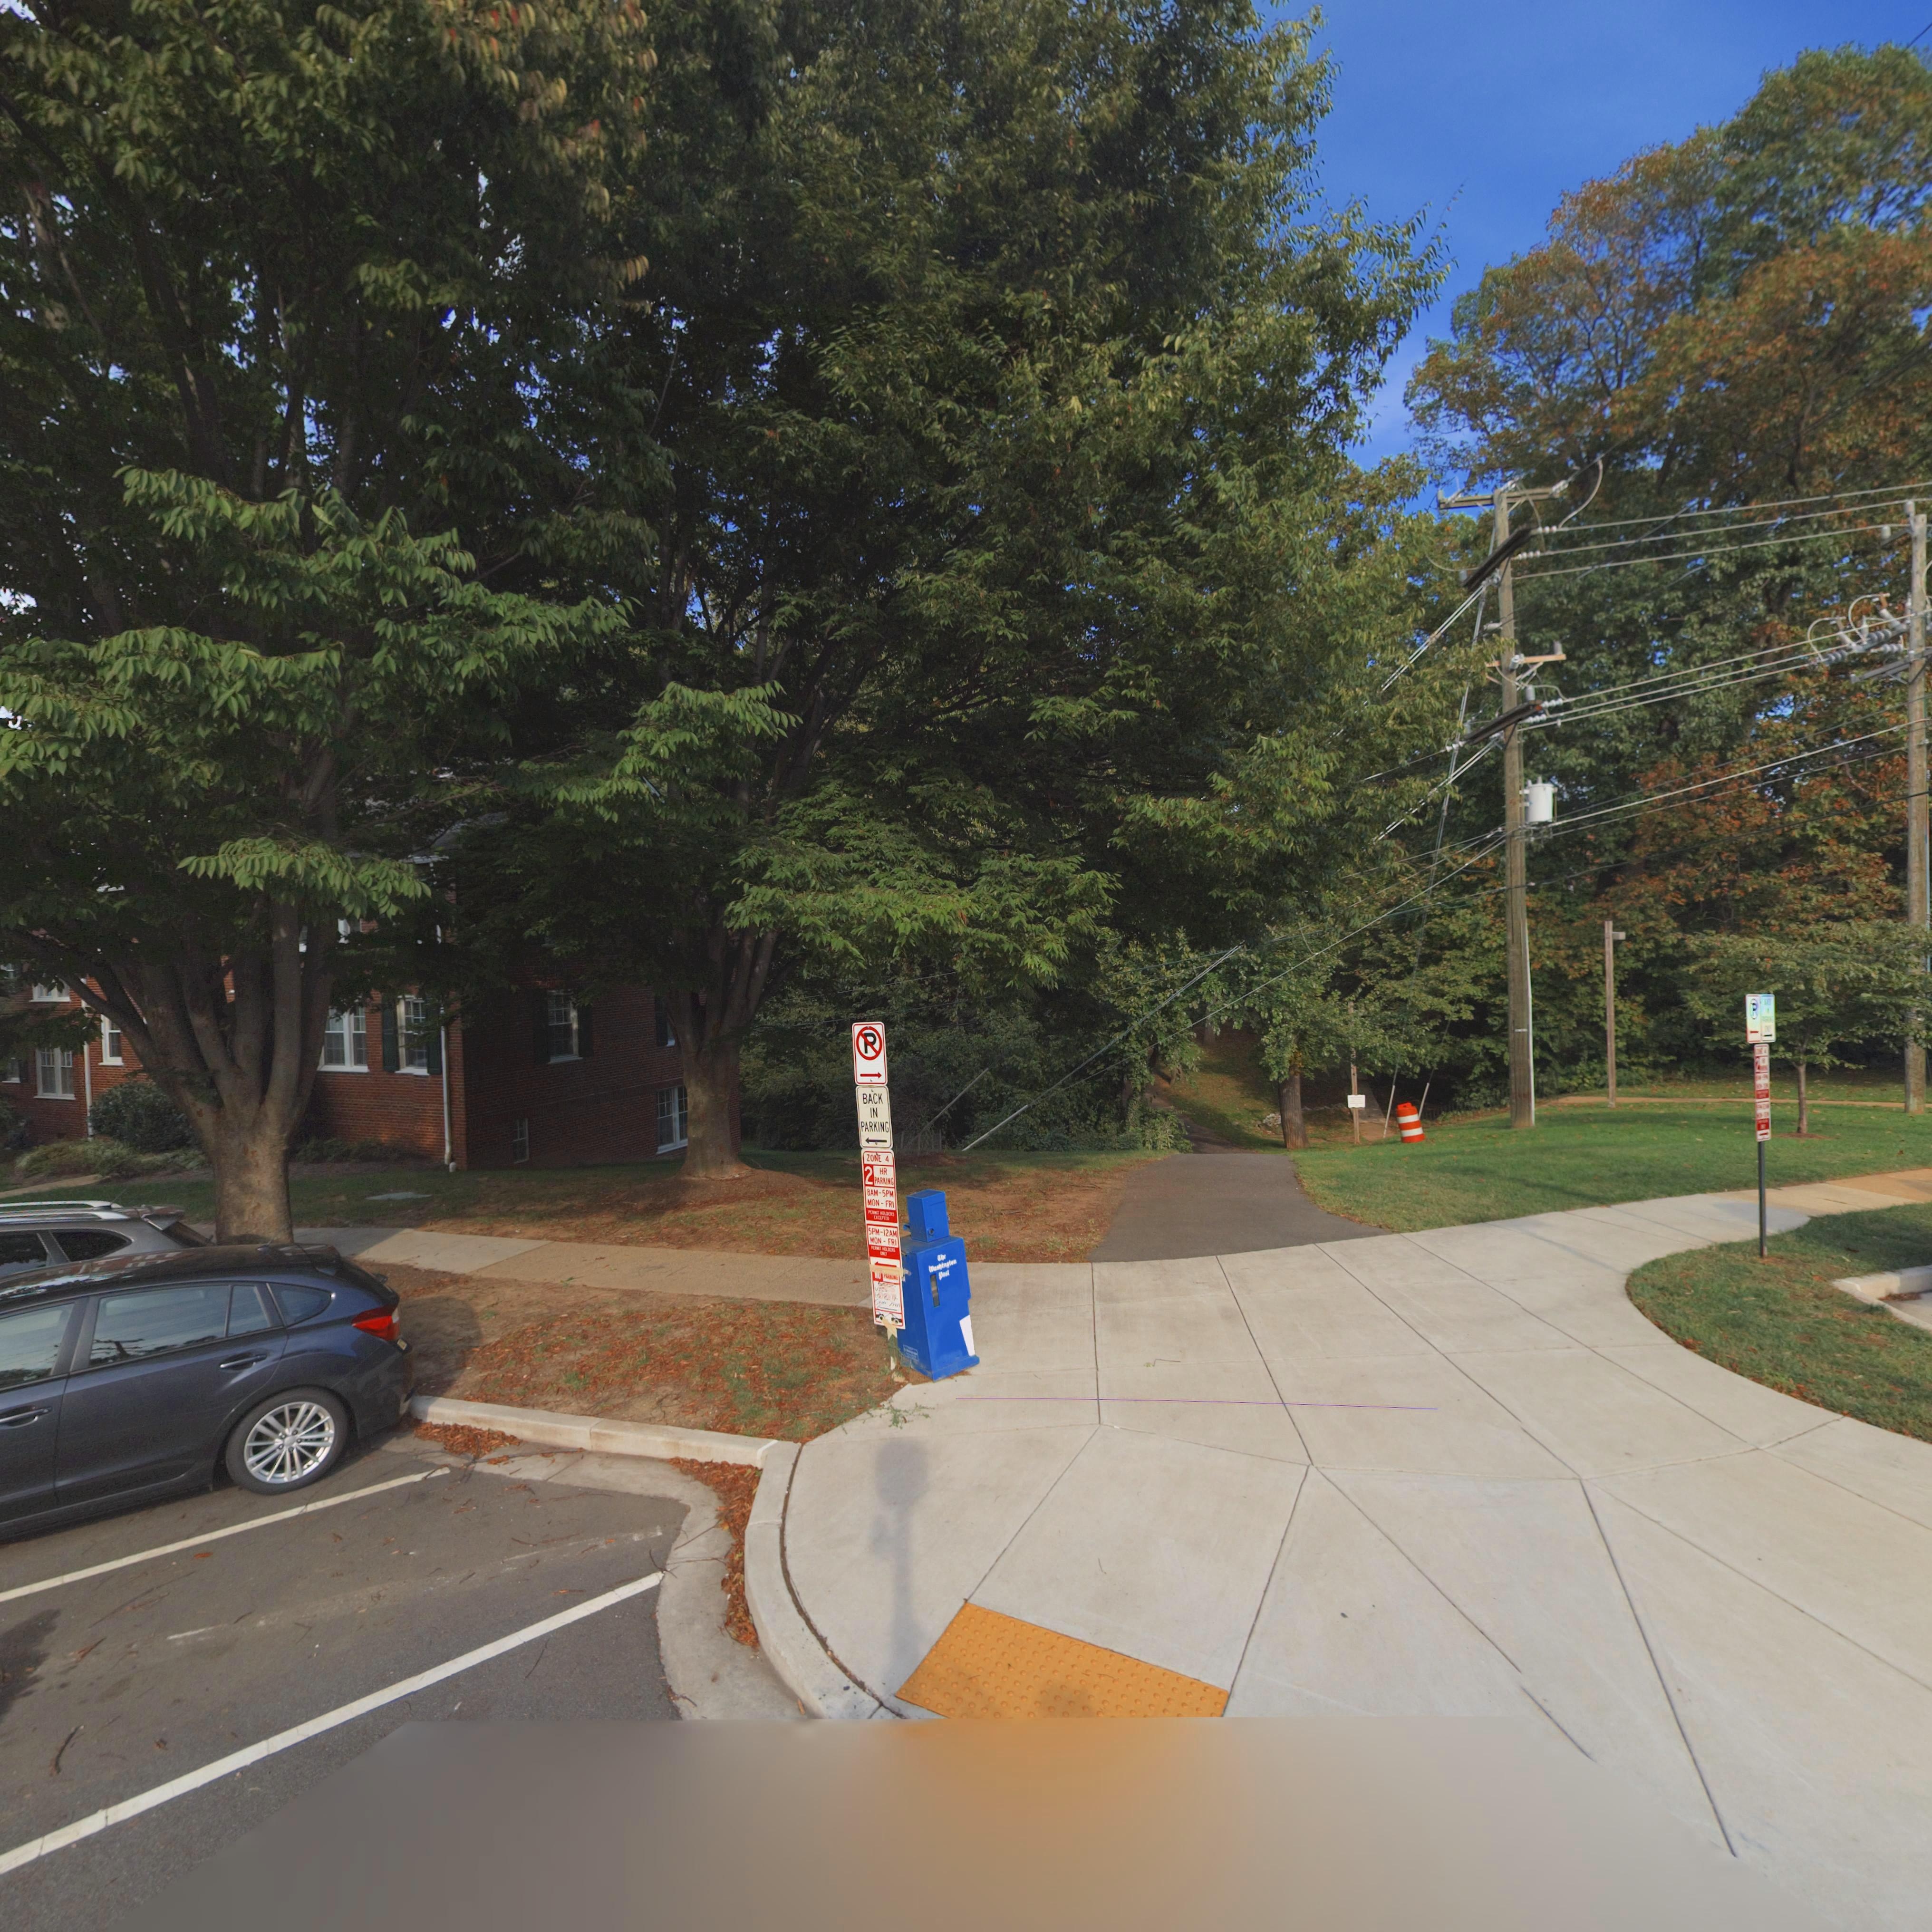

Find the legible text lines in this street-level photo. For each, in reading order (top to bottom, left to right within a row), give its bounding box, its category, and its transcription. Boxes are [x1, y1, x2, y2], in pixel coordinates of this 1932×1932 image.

[1754, 1057, 1761, 1073] None: 2
[861, 1092, 885, 1106] None: BACK
[869, 1106, 879, 1120] None: IN
[860, 1119, 891, 1134] None: PARKING
[865, 1152, 891, 1164] None: ZONE 4
[863, 1164, 875, 1186] None: 2
[879, 1167, 888, 1177] None: HR
[874, 1175, 895, 1187] None: PARKING
[866, 1188, 894, 1199] None: 8AM-5PM
[867, 1198, 895, 1209] None: MON - FRI
[868, 1226, 898, 1239] None: 5PM-12AM
[869, 1235, 898, 1247] None: MON - FRI
[940, 1253, 947, 1262] None: he
[928, 1258, 958, 1274] None: Washington
[937, 1267, 951, 1283] None: Post